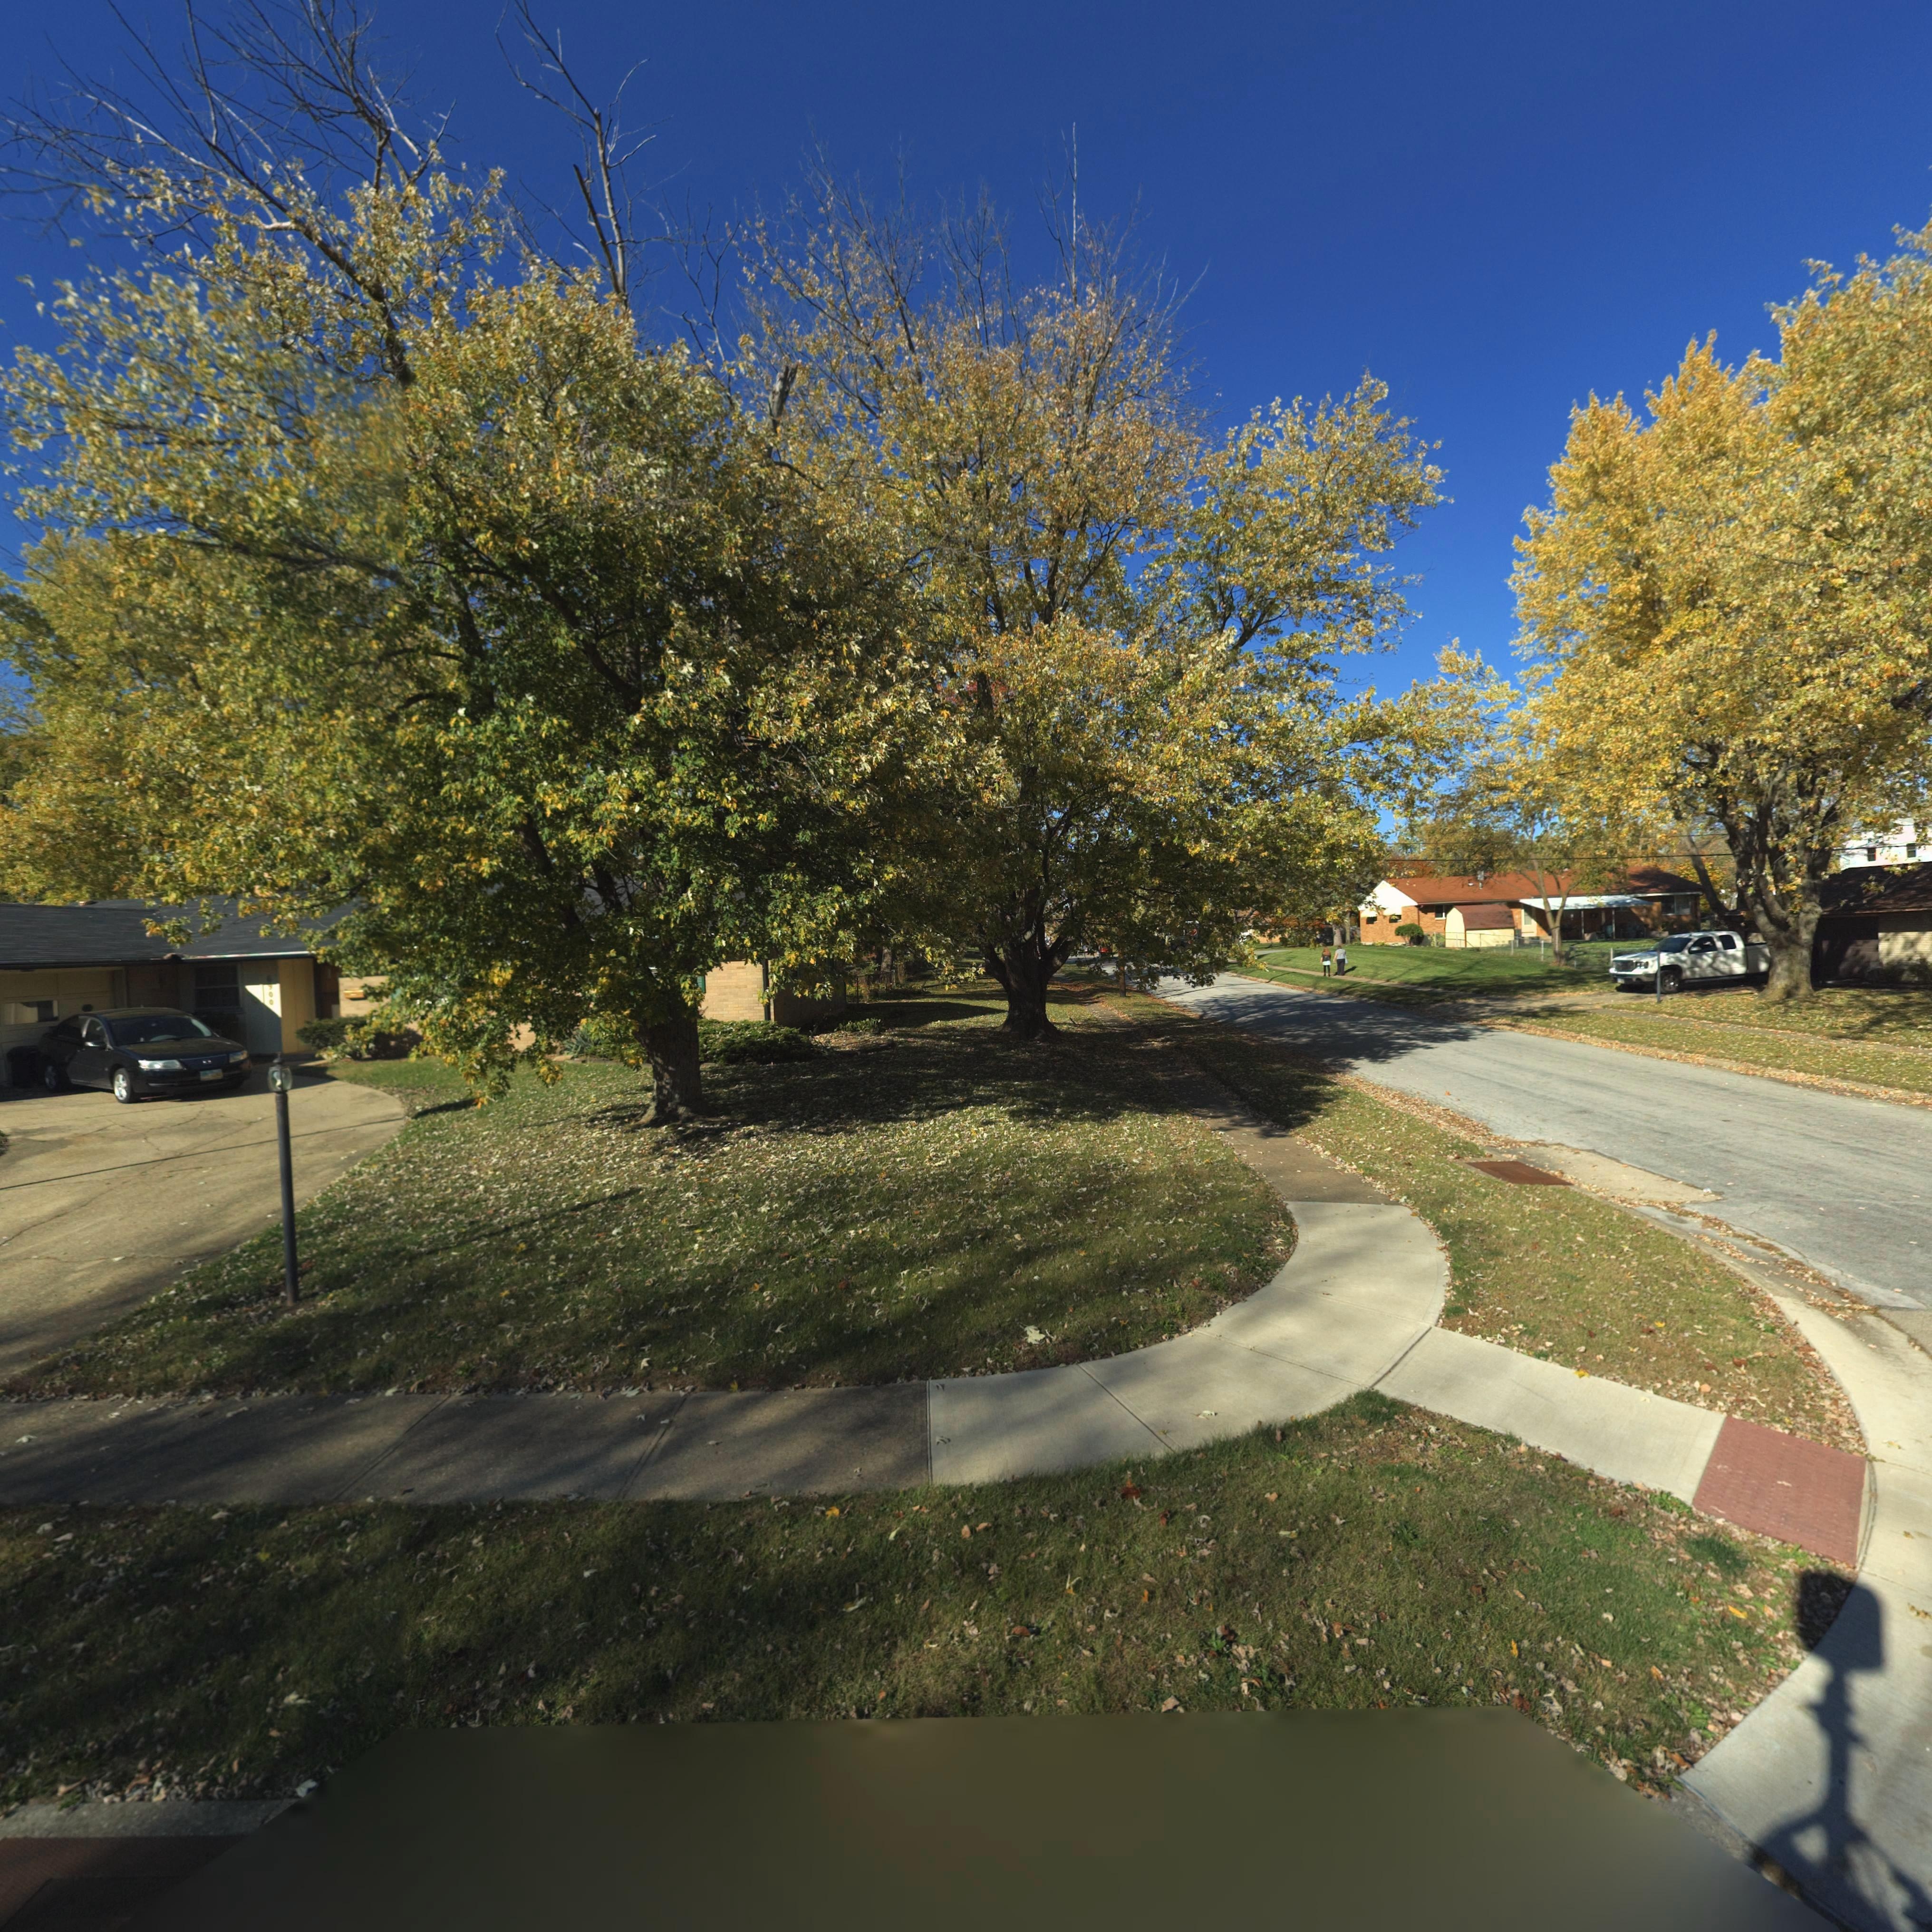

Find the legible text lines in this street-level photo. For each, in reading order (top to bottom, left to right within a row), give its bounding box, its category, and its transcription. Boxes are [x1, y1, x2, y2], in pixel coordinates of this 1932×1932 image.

[267, 975, 274, 1005] StreetNumber: 6900